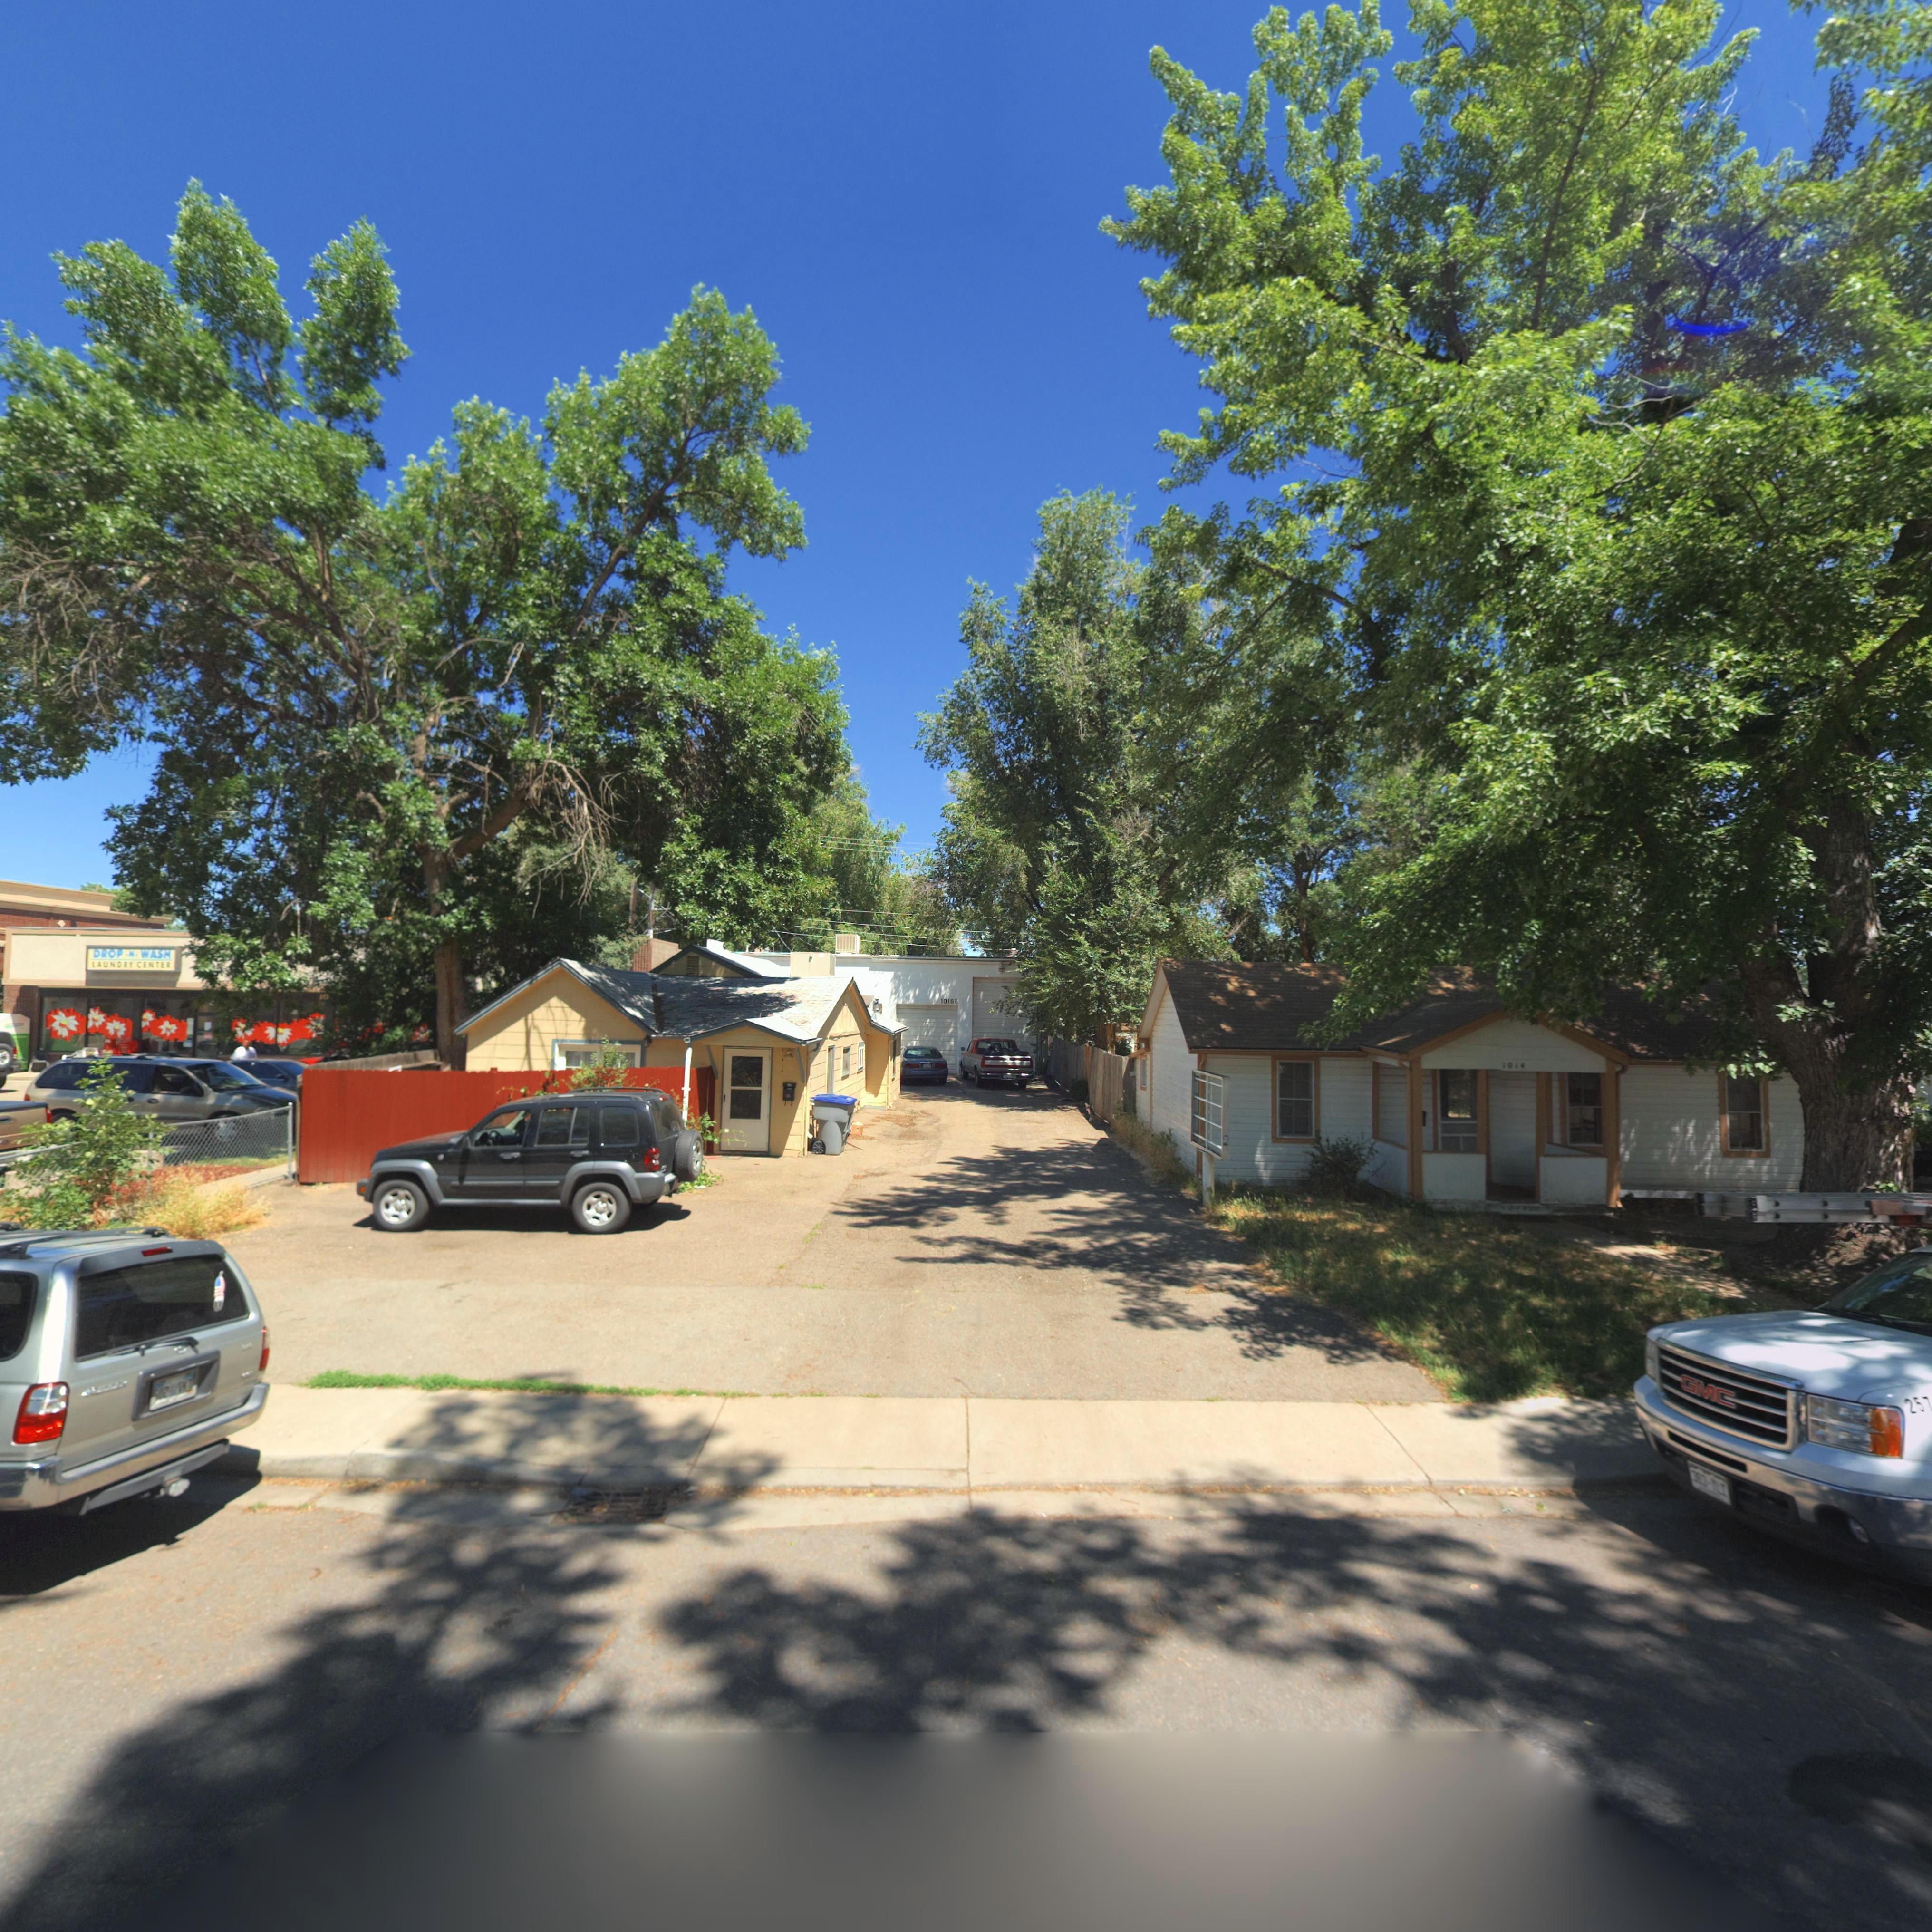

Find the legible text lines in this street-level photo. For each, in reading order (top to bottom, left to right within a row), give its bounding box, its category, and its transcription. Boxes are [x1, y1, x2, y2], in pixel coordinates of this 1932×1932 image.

[92, 948, 171, 959] BusinessName: DROP *N* WASH
[91, 961, 170, 968] BusinessName: LAUNDRY CENTER
[319, 993, 328, 999] StreetNumber: 10
[940, 998, 954, 1004] StreetNumber: 1016
[1502, 1062, 1525, 1069] StreetNumber: 1014